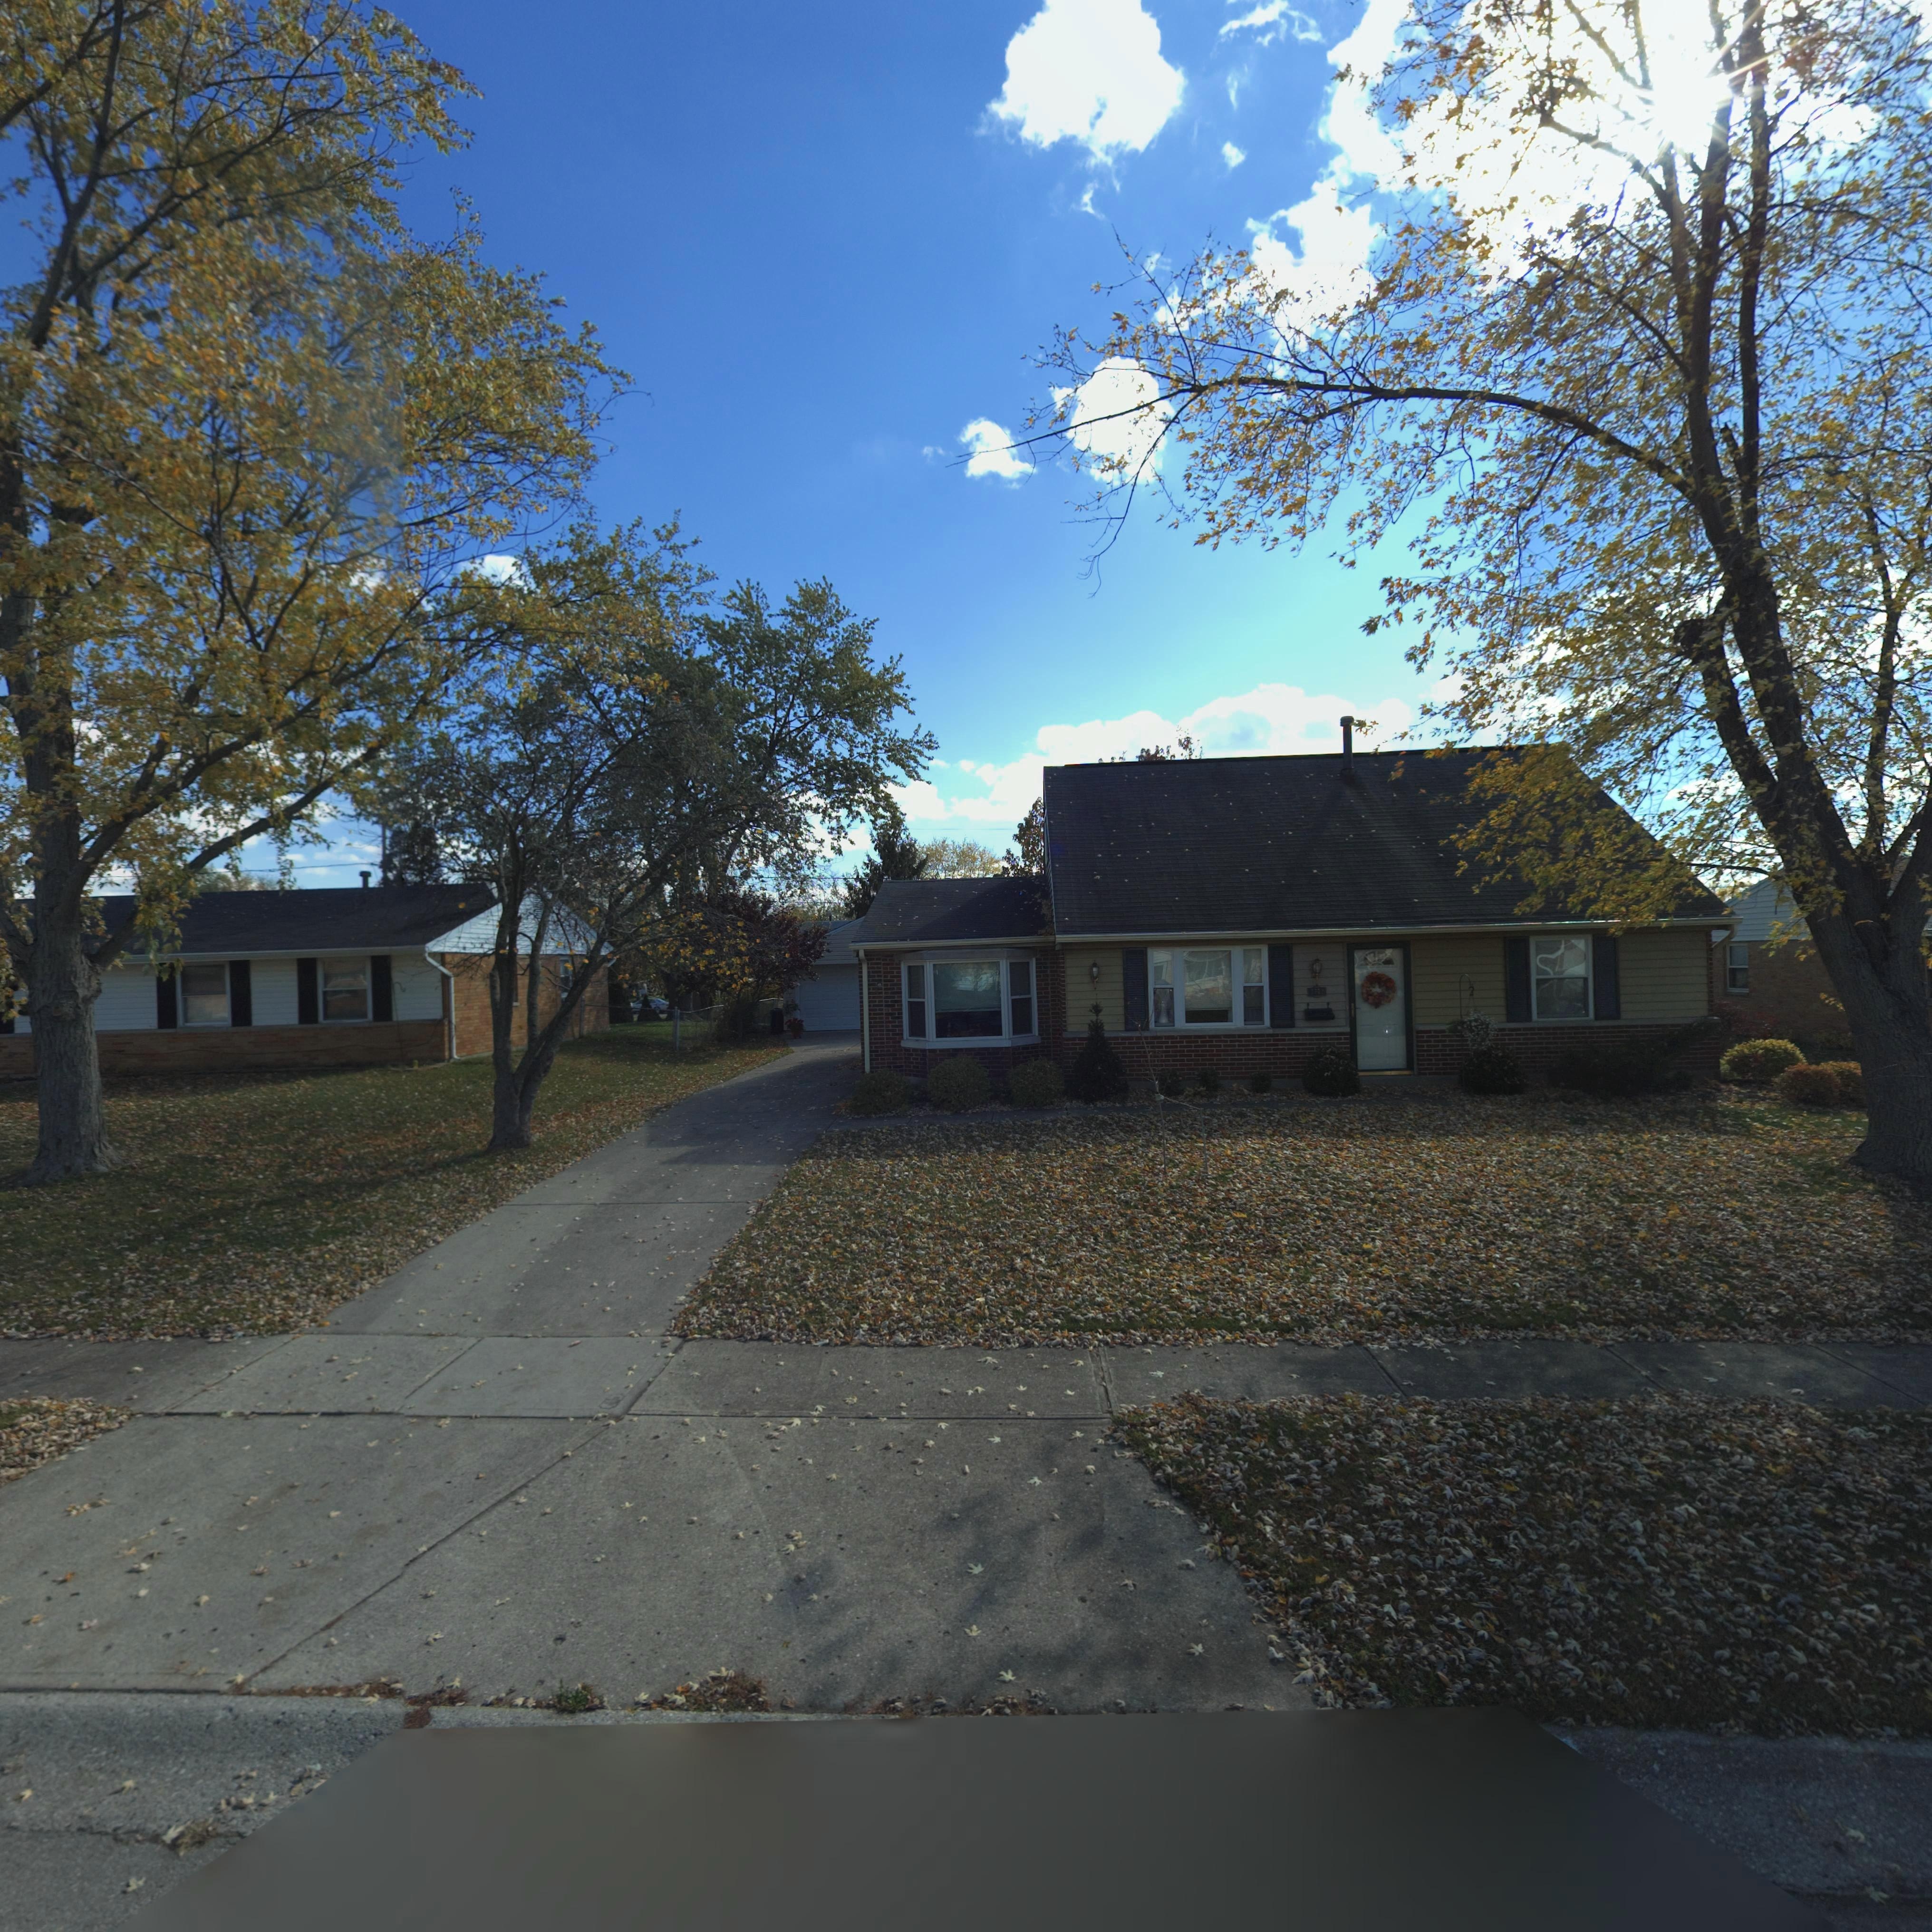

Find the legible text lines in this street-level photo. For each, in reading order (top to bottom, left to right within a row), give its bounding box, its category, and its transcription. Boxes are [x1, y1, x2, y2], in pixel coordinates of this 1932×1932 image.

[1309, 988, 1326, 995] StreetNumber: 7776